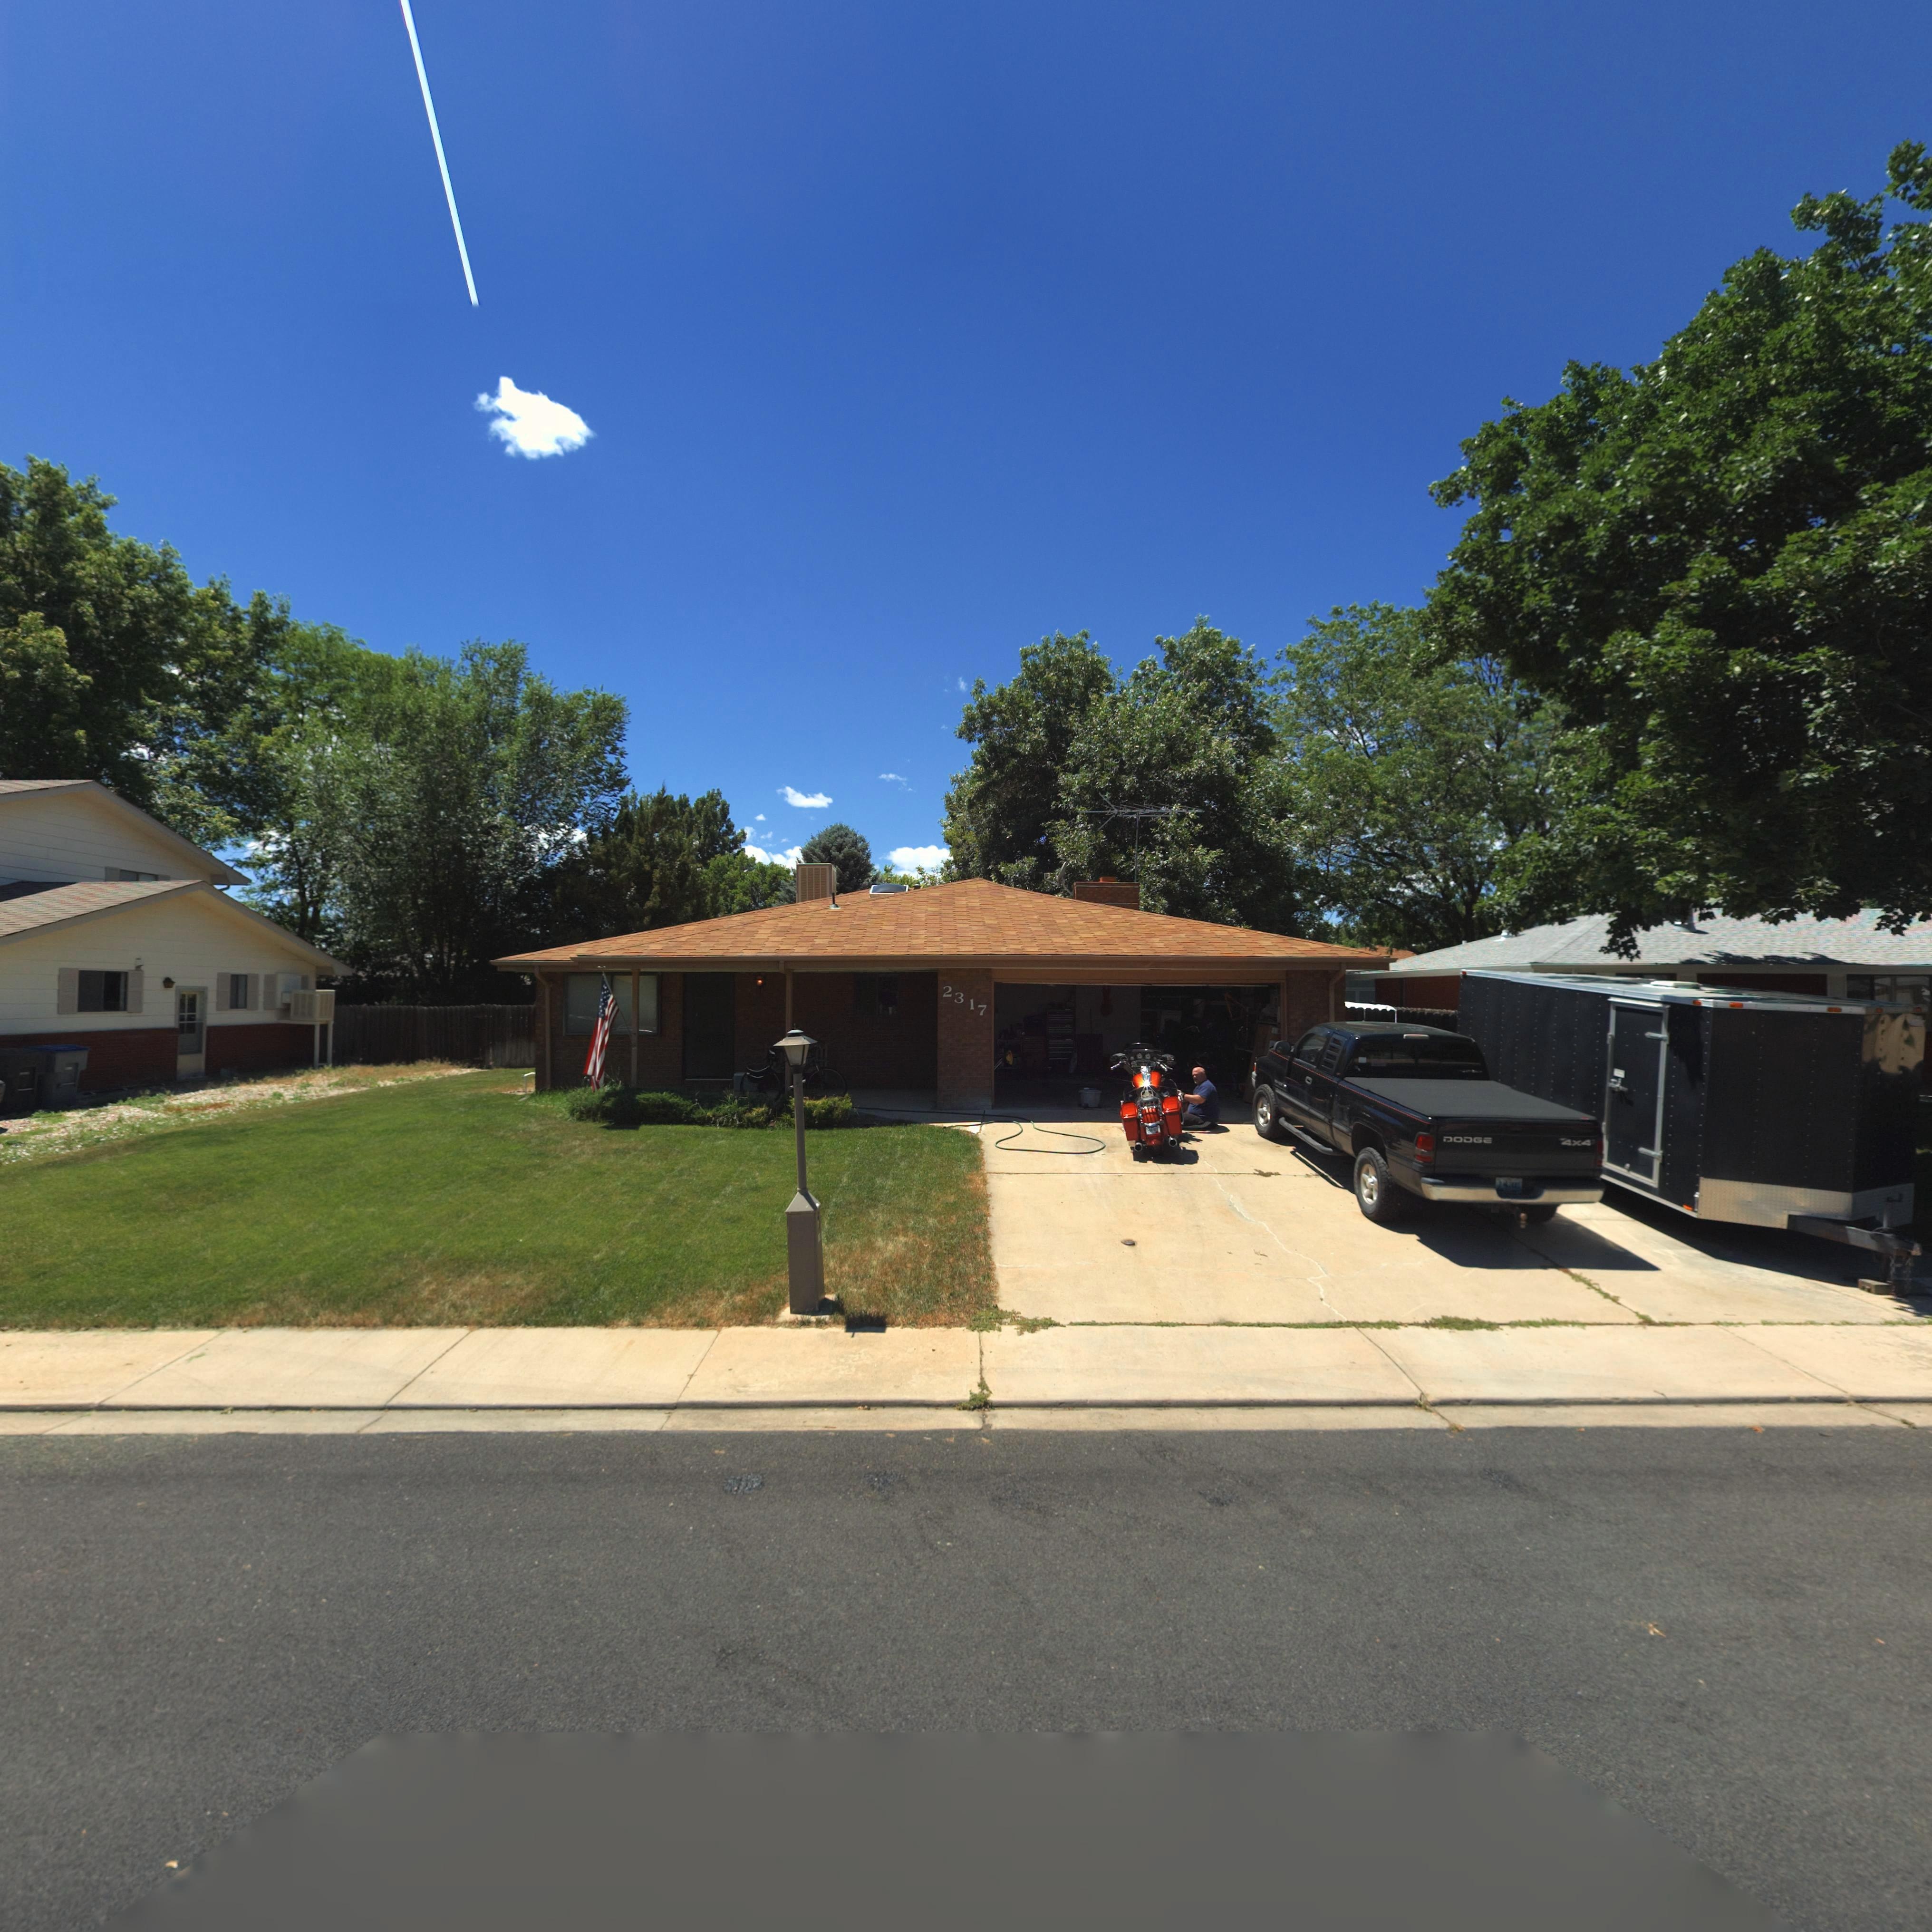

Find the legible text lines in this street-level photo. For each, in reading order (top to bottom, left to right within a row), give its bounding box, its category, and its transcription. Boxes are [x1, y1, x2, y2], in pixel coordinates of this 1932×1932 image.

[941, 985, 987, 1016] StreetNumber: 2317